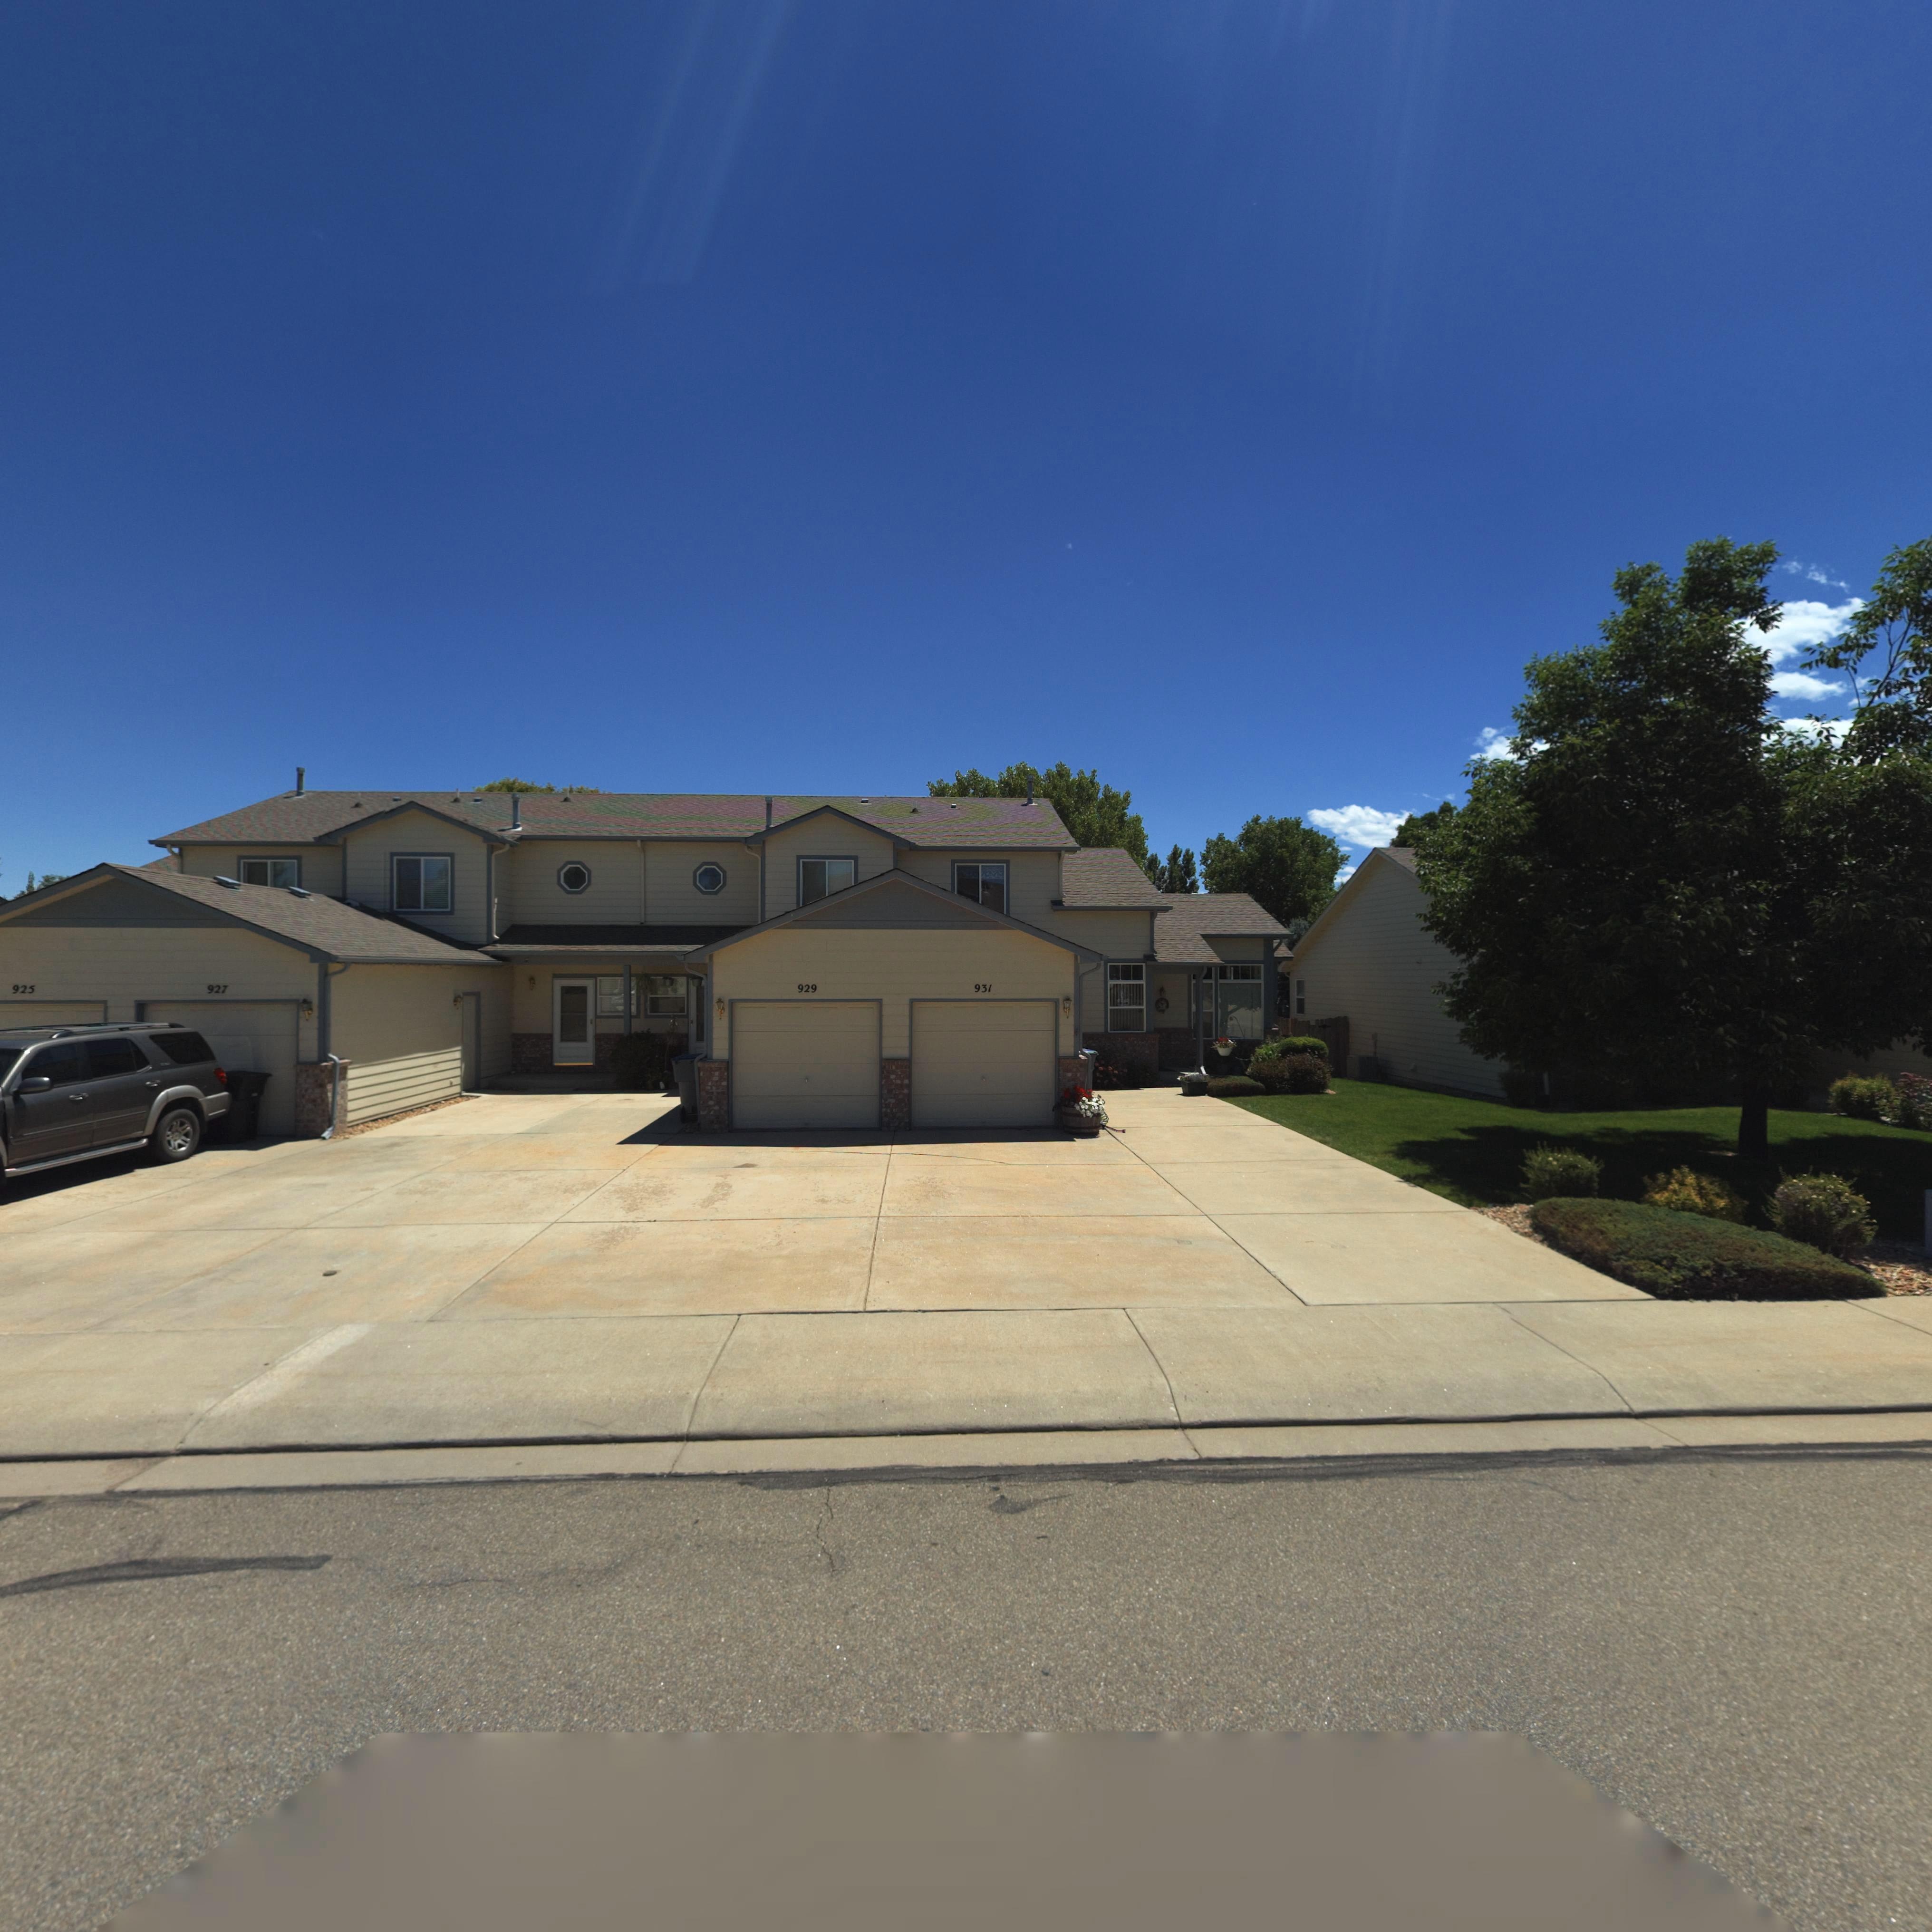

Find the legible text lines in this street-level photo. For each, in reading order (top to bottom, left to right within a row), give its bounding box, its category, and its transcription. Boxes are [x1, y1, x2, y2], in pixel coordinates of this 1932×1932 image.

[11, 983, 36, 995] StreetNumber: 925
[206, 984, 229, 994] StreetNumber: 927
[797, 983, 817, 993] StreetNumber: 929
[975, 984, 992, 993] StreetNumber: 931